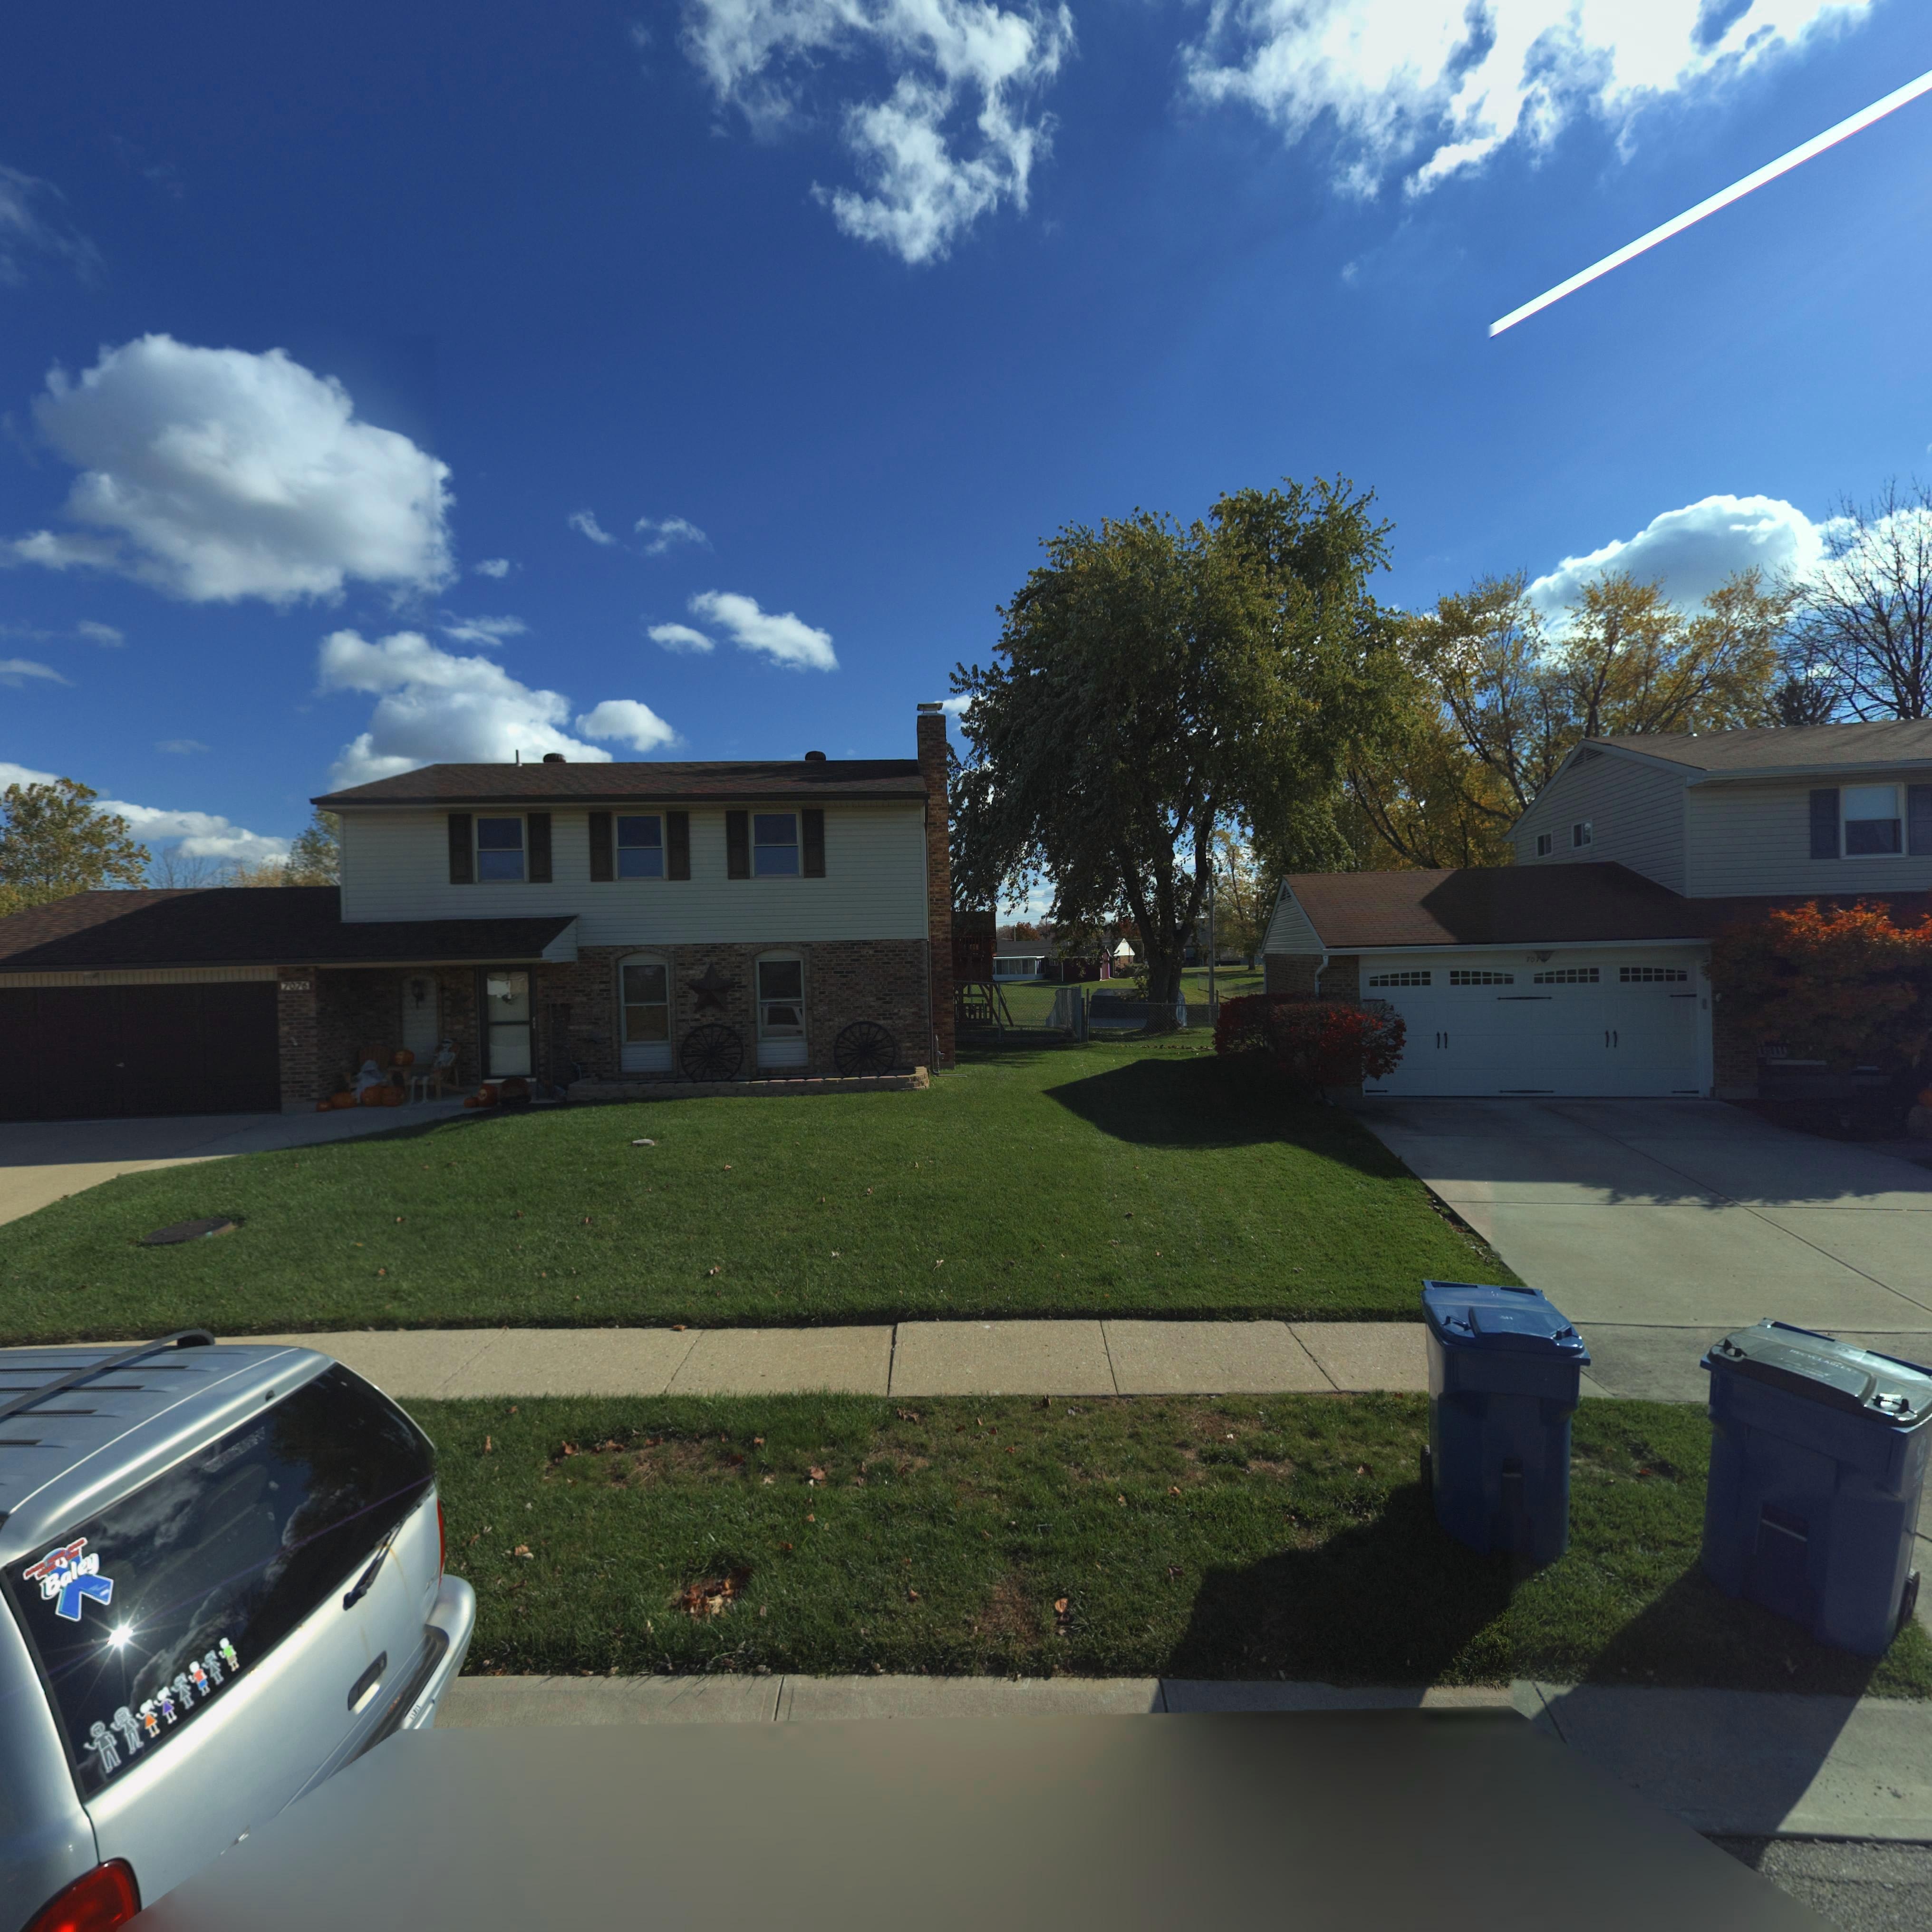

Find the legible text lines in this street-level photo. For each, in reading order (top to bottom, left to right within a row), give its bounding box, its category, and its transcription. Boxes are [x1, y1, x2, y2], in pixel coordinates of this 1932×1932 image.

[1525, 956, 1540, 964] StreetNumber: 70*
[282, 980, 309, 991] StreetNumber: 7076